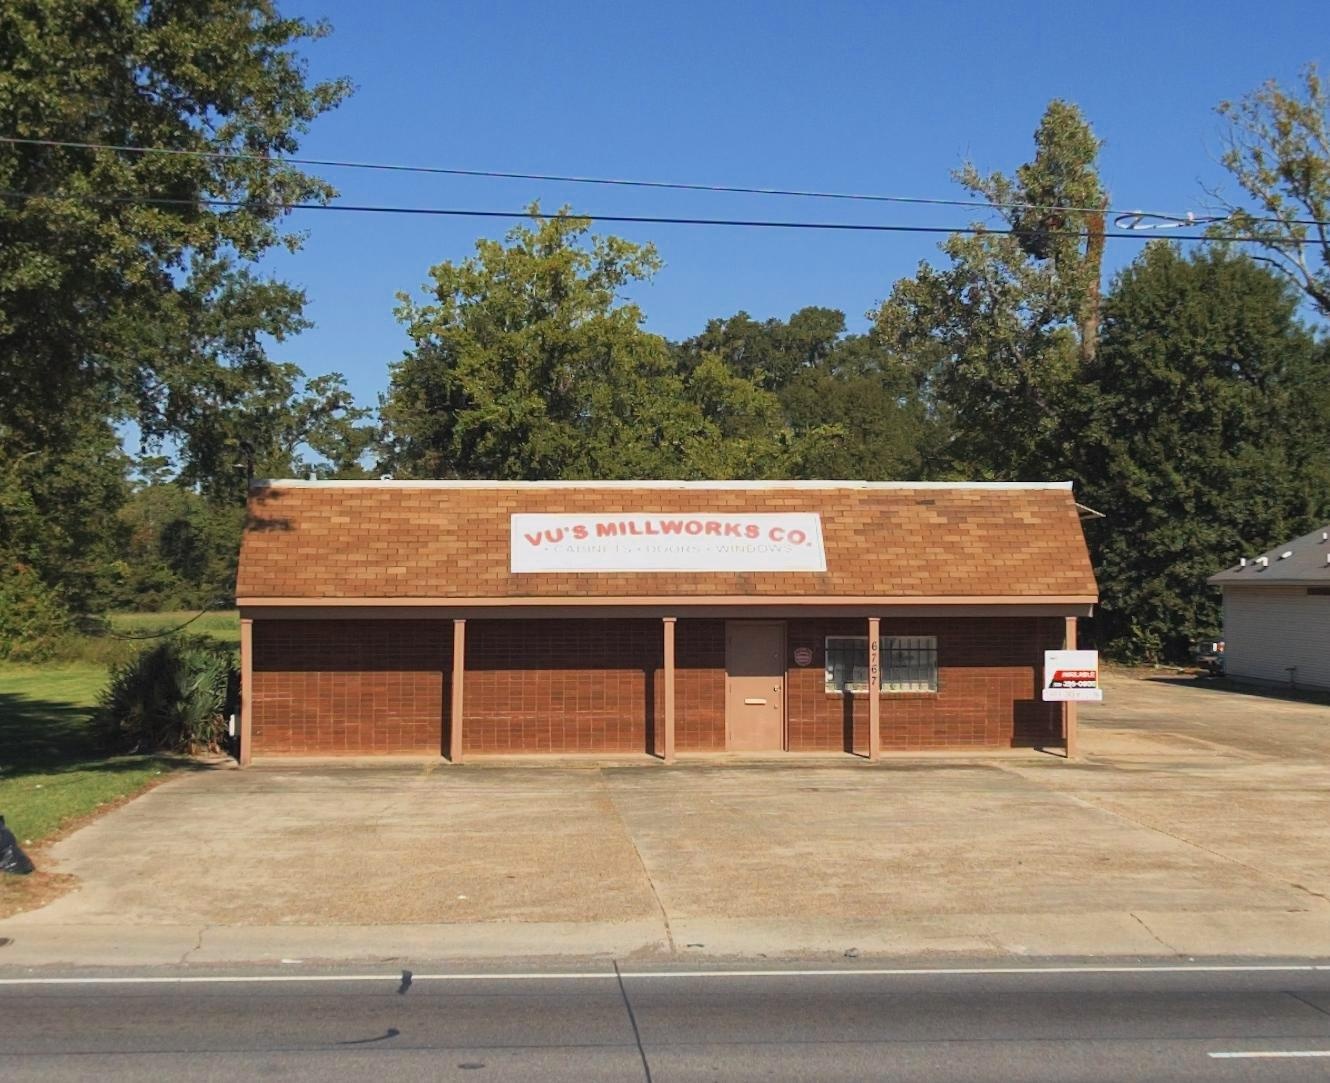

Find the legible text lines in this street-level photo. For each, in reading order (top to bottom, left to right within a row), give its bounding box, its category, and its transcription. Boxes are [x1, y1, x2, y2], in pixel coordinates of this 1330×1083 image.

[518, 517, 815, 550] BusinessName: VU's MILLWORKS CO.
[644, 542, 793, 557] None: DORS * WINDOWS
[869, 638, 879, 688] StreetNumber: 6767